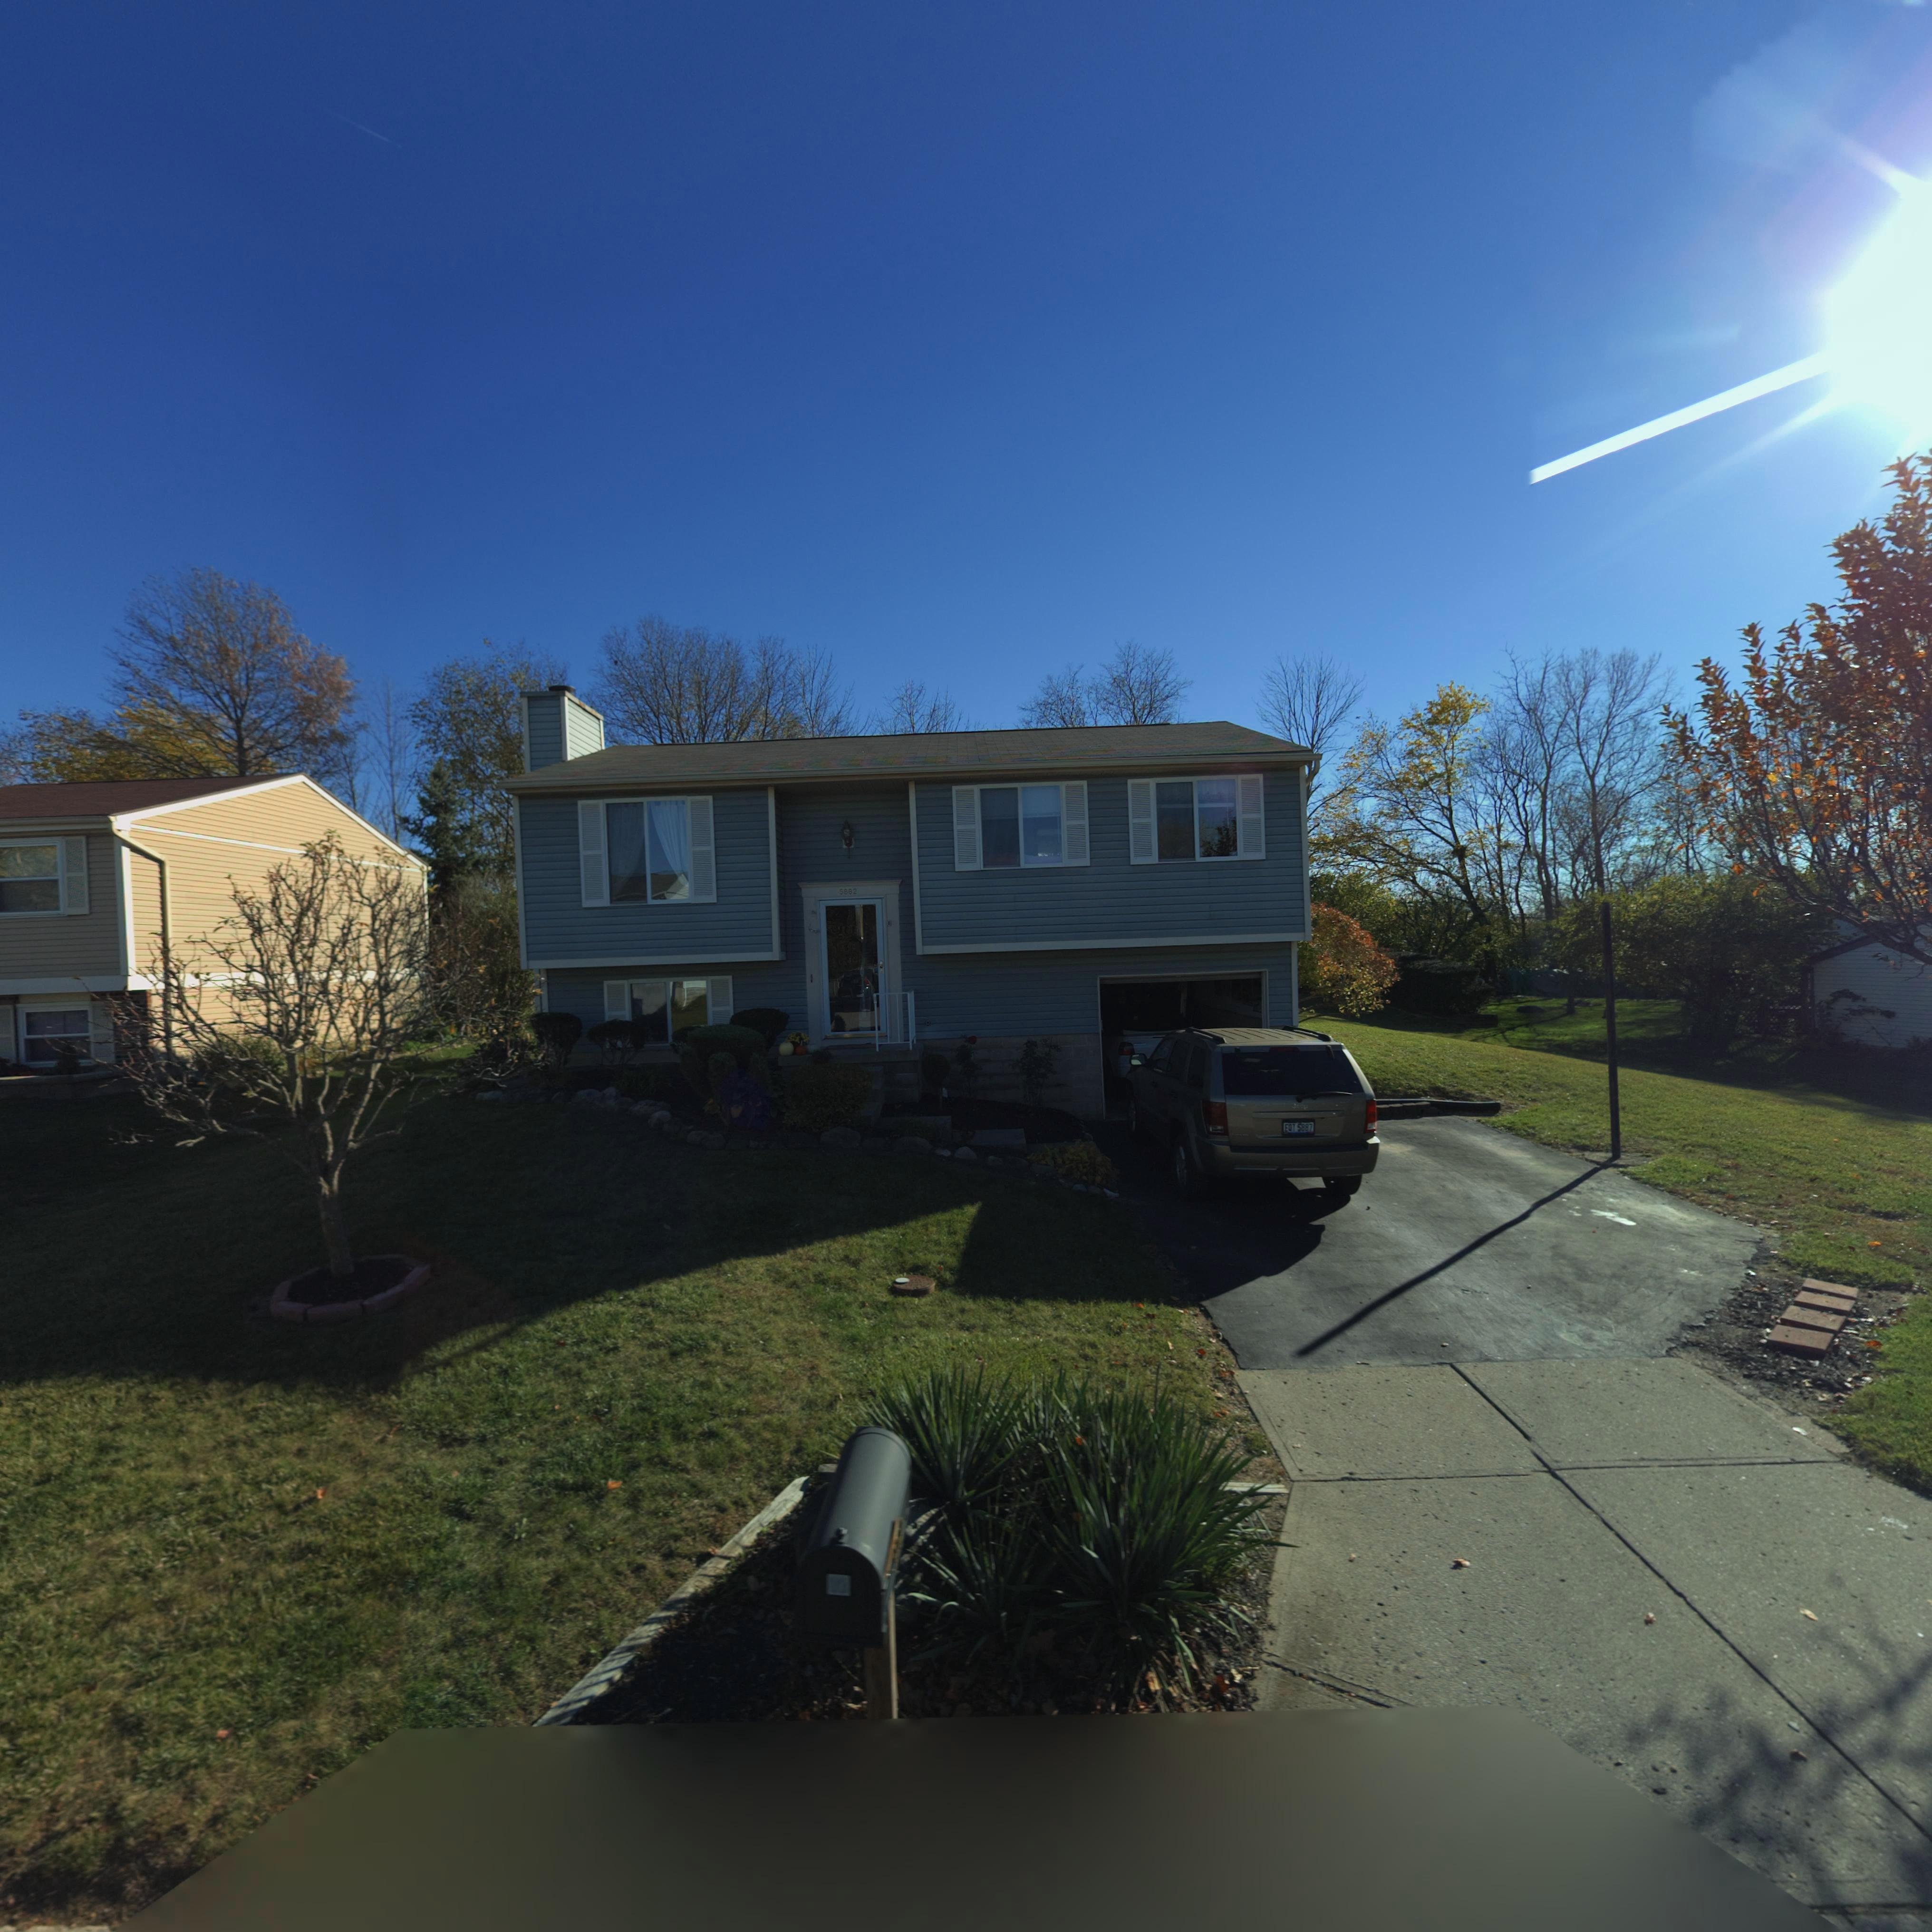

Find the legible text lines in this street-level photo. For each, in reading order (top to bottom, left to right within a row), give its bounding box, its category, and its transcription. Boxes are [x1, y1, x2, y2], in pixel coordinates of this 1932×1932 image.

[839, 888, 857, 895] StreetNumber: 5882